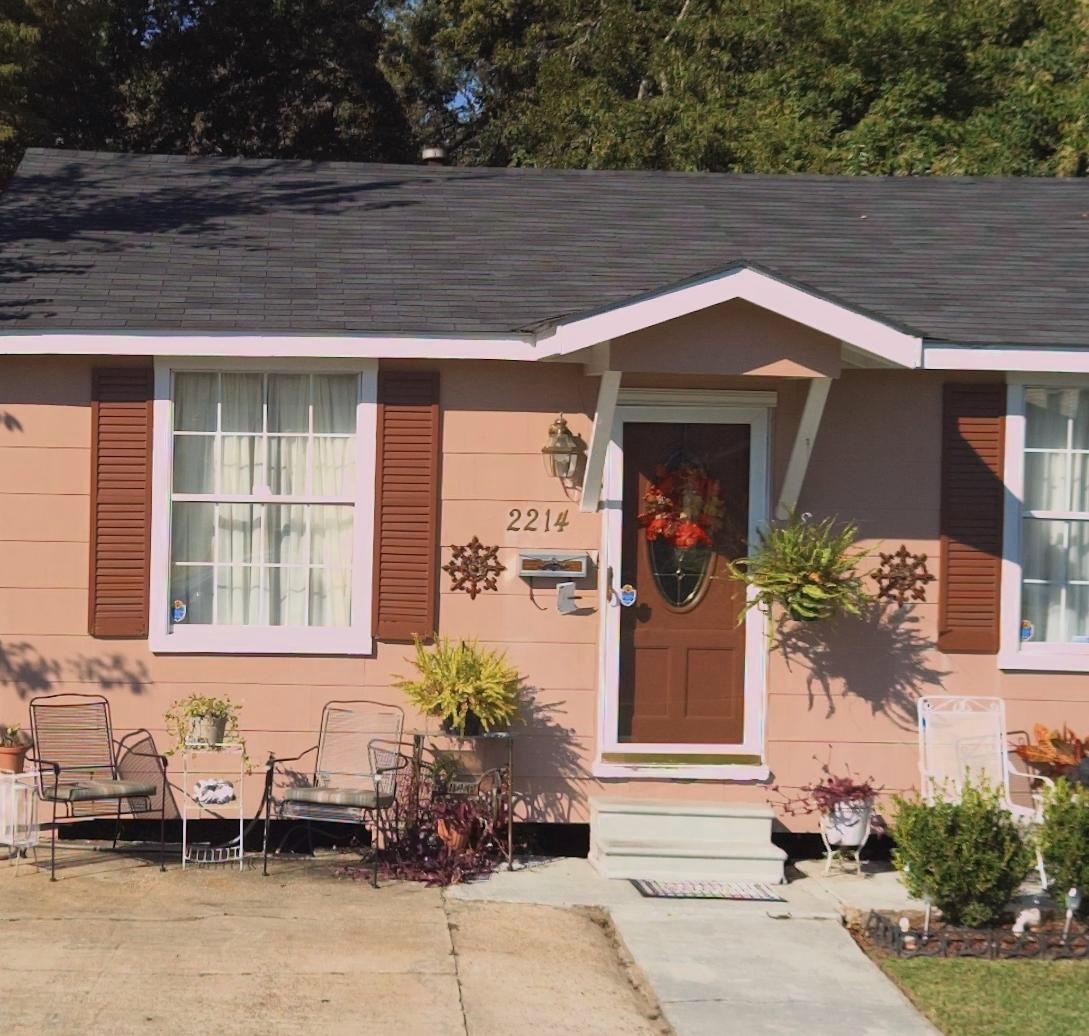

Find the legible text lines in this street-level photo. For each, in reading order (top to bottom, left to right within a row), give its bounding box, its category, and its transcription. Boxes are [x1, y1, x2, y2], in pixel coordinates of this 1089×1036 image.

[504, 506, 575, 536] StreetNumber: 2214